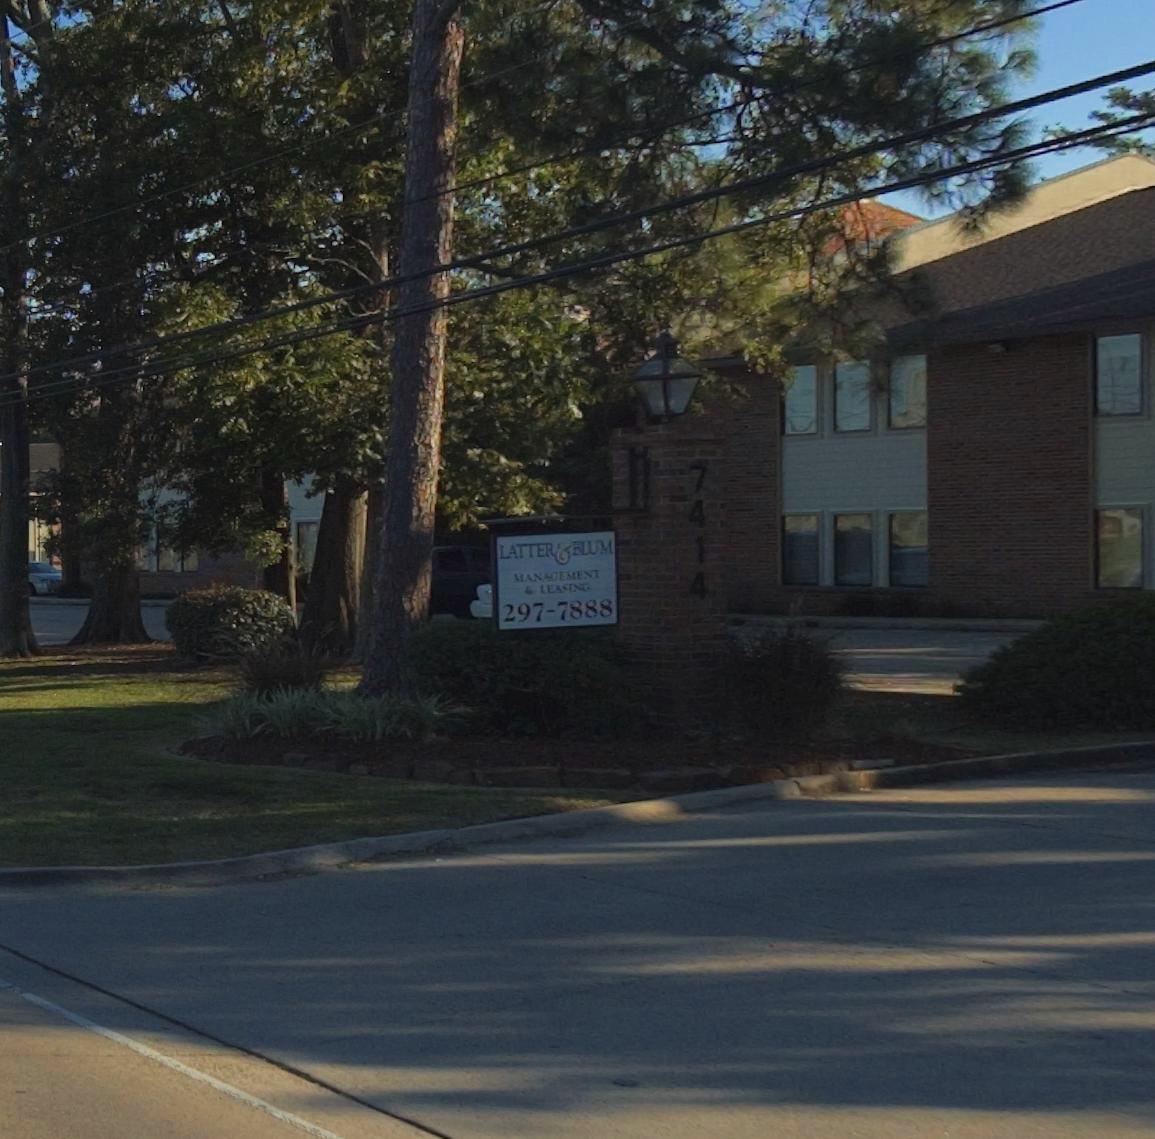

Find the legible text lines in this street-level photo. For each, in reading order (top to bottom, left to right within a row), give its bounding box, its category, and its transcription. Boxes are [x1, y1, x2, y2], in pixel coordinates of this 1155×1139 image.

[687, 463, 709, 609] StreetNumber: 7414
[496, 538, 615, 566] BusinessName: LATTER & BLUM
[512, 565, 605, 584] None: MANAGEMENT
[538, 580, 594, 596] None: LEASING
[500, 596, 615, 624] None: 297-7888